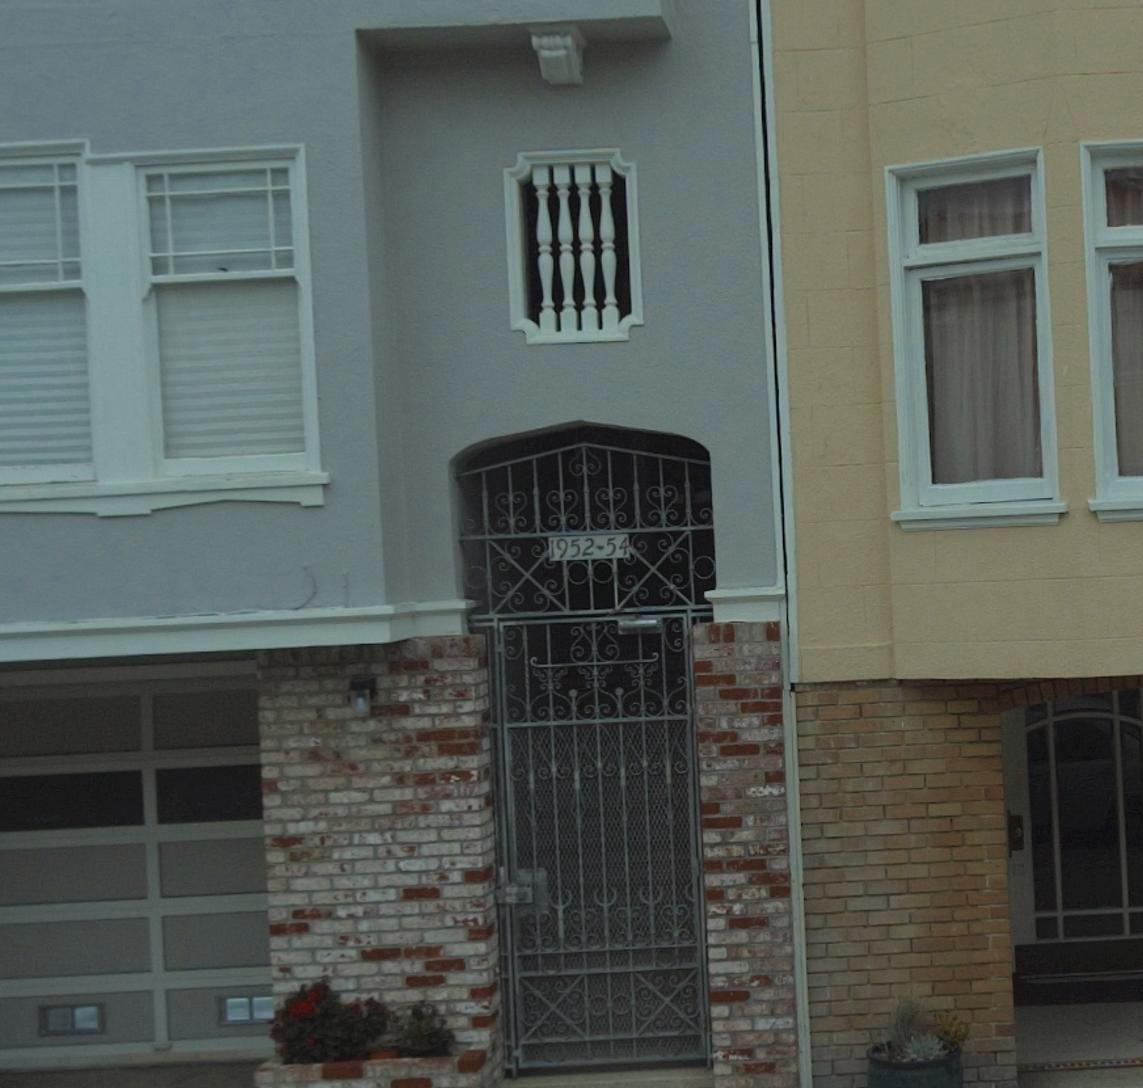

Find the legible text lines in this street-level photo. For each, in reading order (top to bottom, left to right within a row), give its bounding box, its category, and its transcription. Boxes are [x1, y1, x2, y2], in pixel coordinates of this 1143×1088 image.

[547, 535, 596, 560] StreetNumber: 1952
[603, 535, 631, 558] StreetNumber: 54